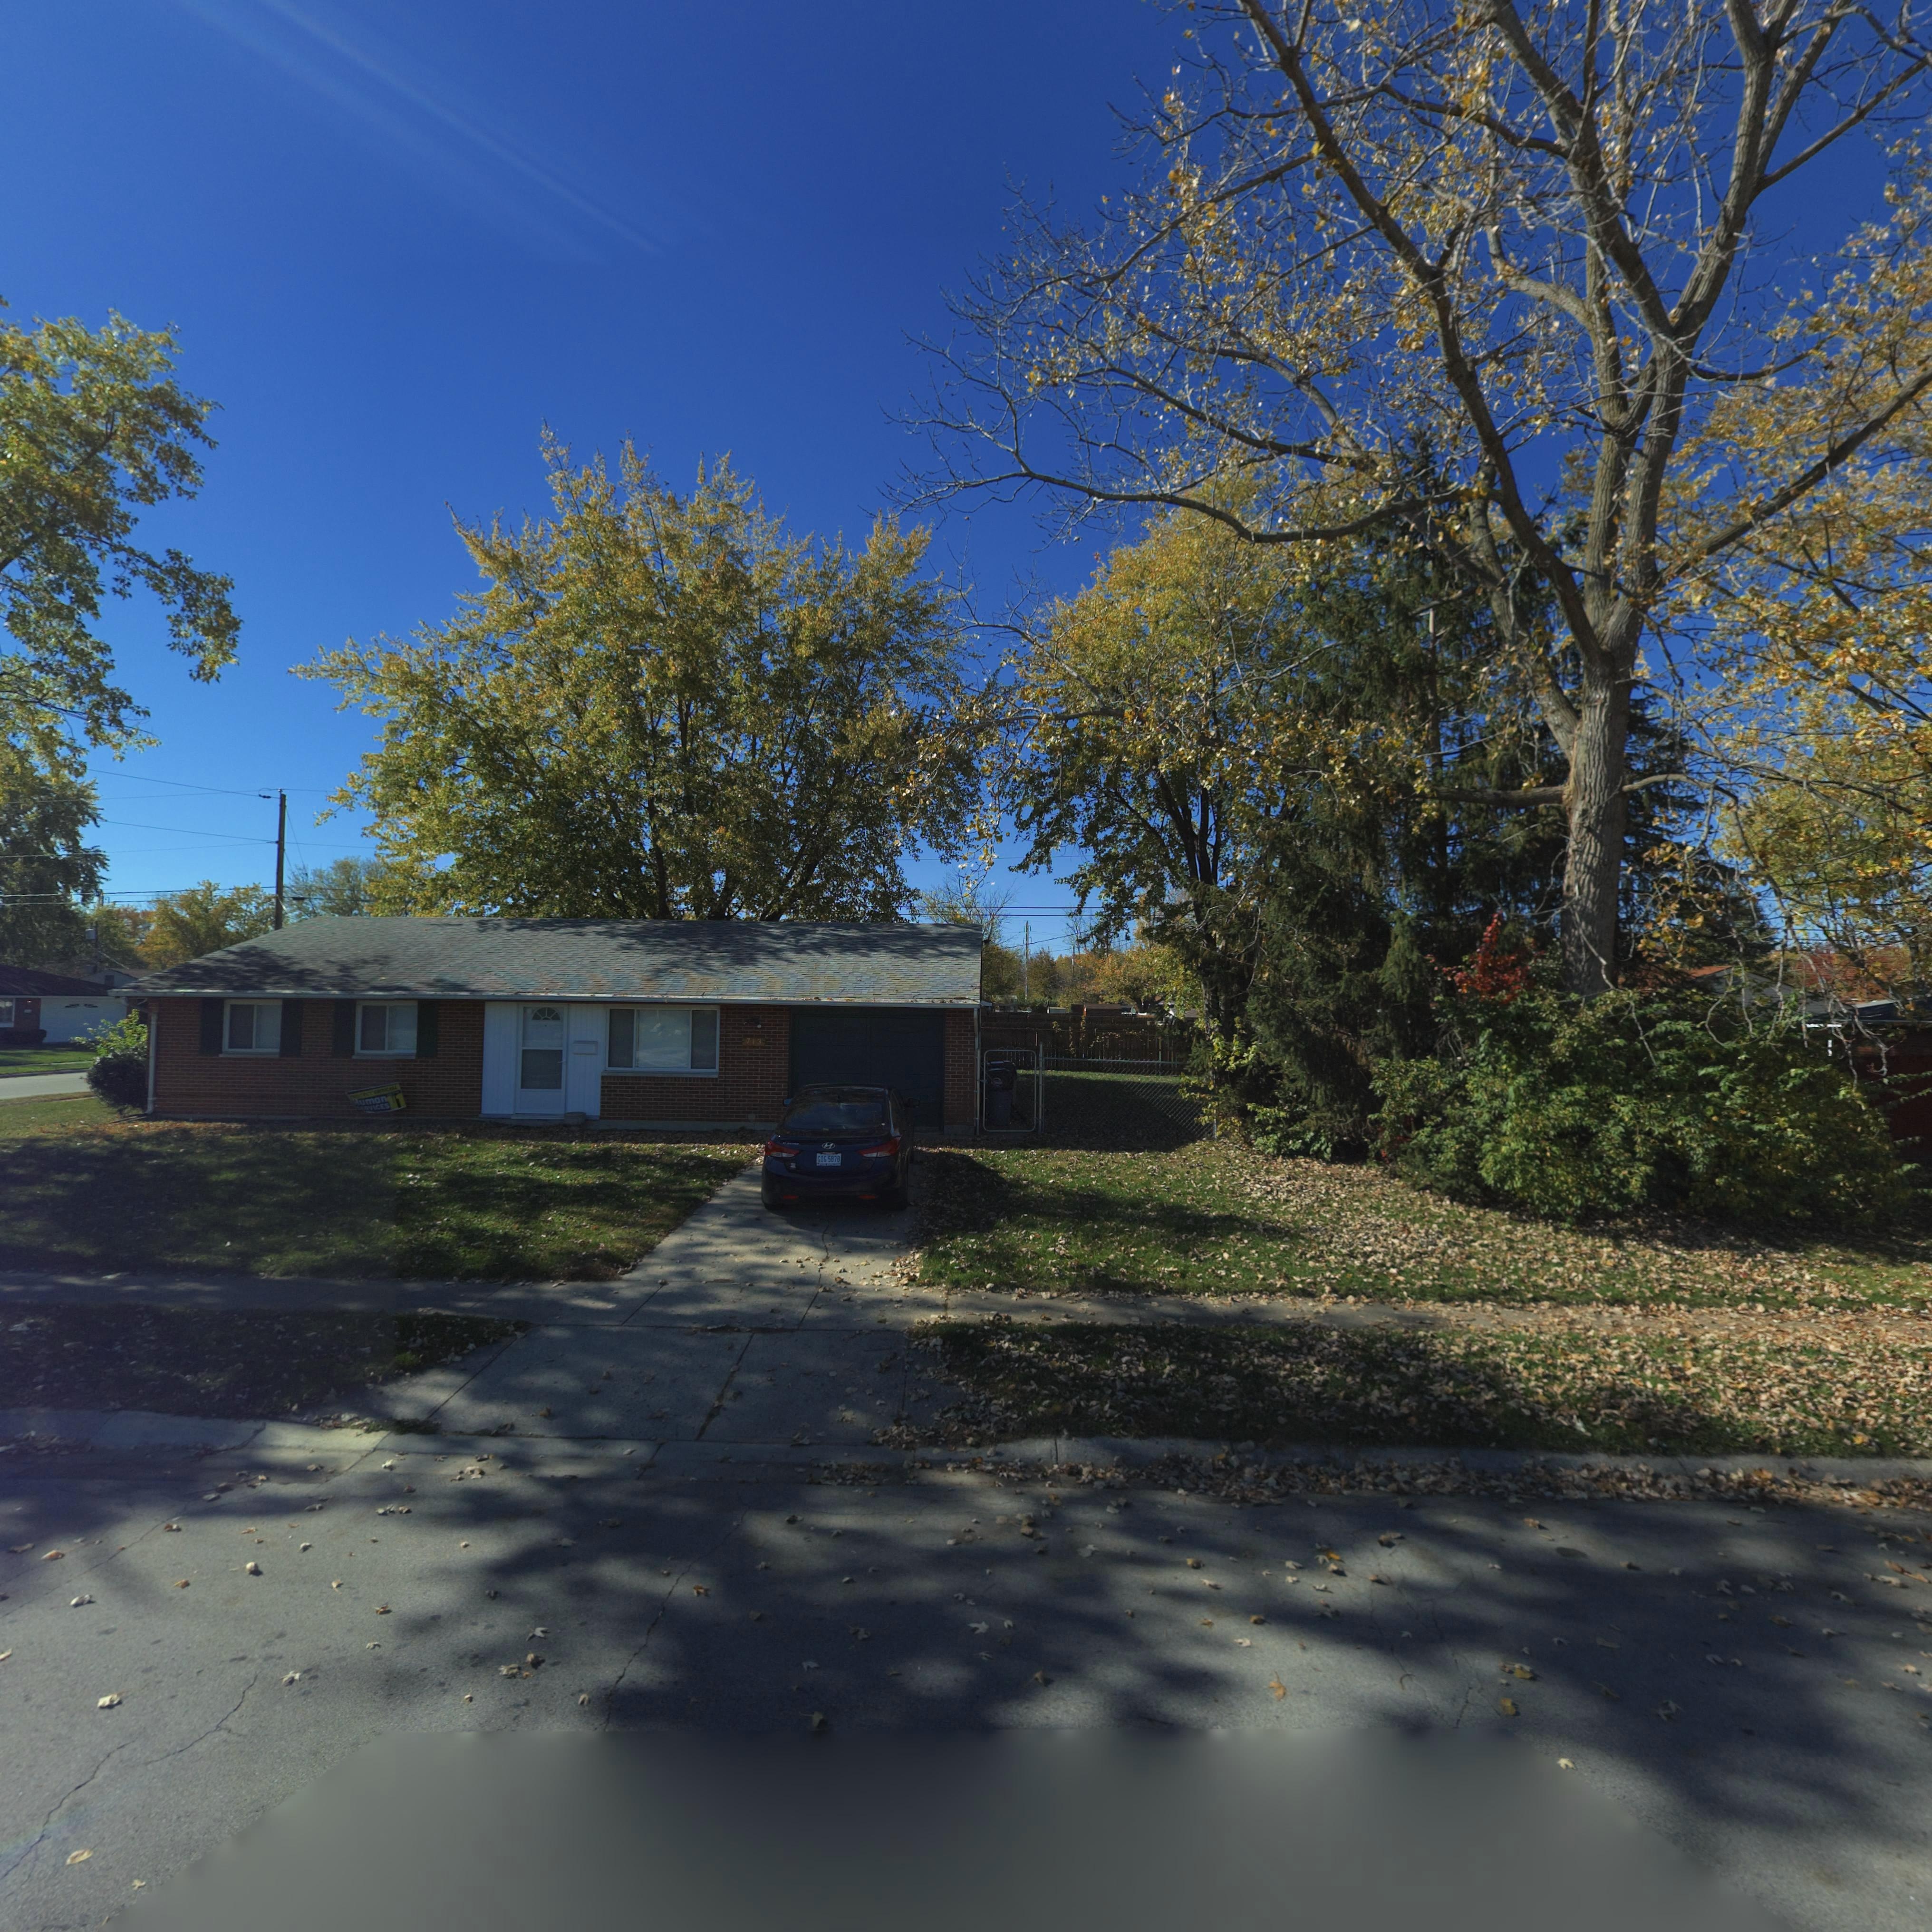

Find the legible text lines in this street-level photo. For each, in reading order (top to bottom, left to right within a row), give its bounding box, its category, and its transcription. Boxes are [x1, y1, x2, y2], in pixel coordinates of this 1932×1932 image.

[745, 1037, 763, 1046] StreetNumber: 713
[386, 1084, 398, 1092] None: CALL
[351, 1095, 389, 1106] None: Human
[395, 1092, 407, 1108] None: 1
[367, 1102, 391, 1111] None: VICES
[817, 1155, 841, 1163] None: GIG*5878